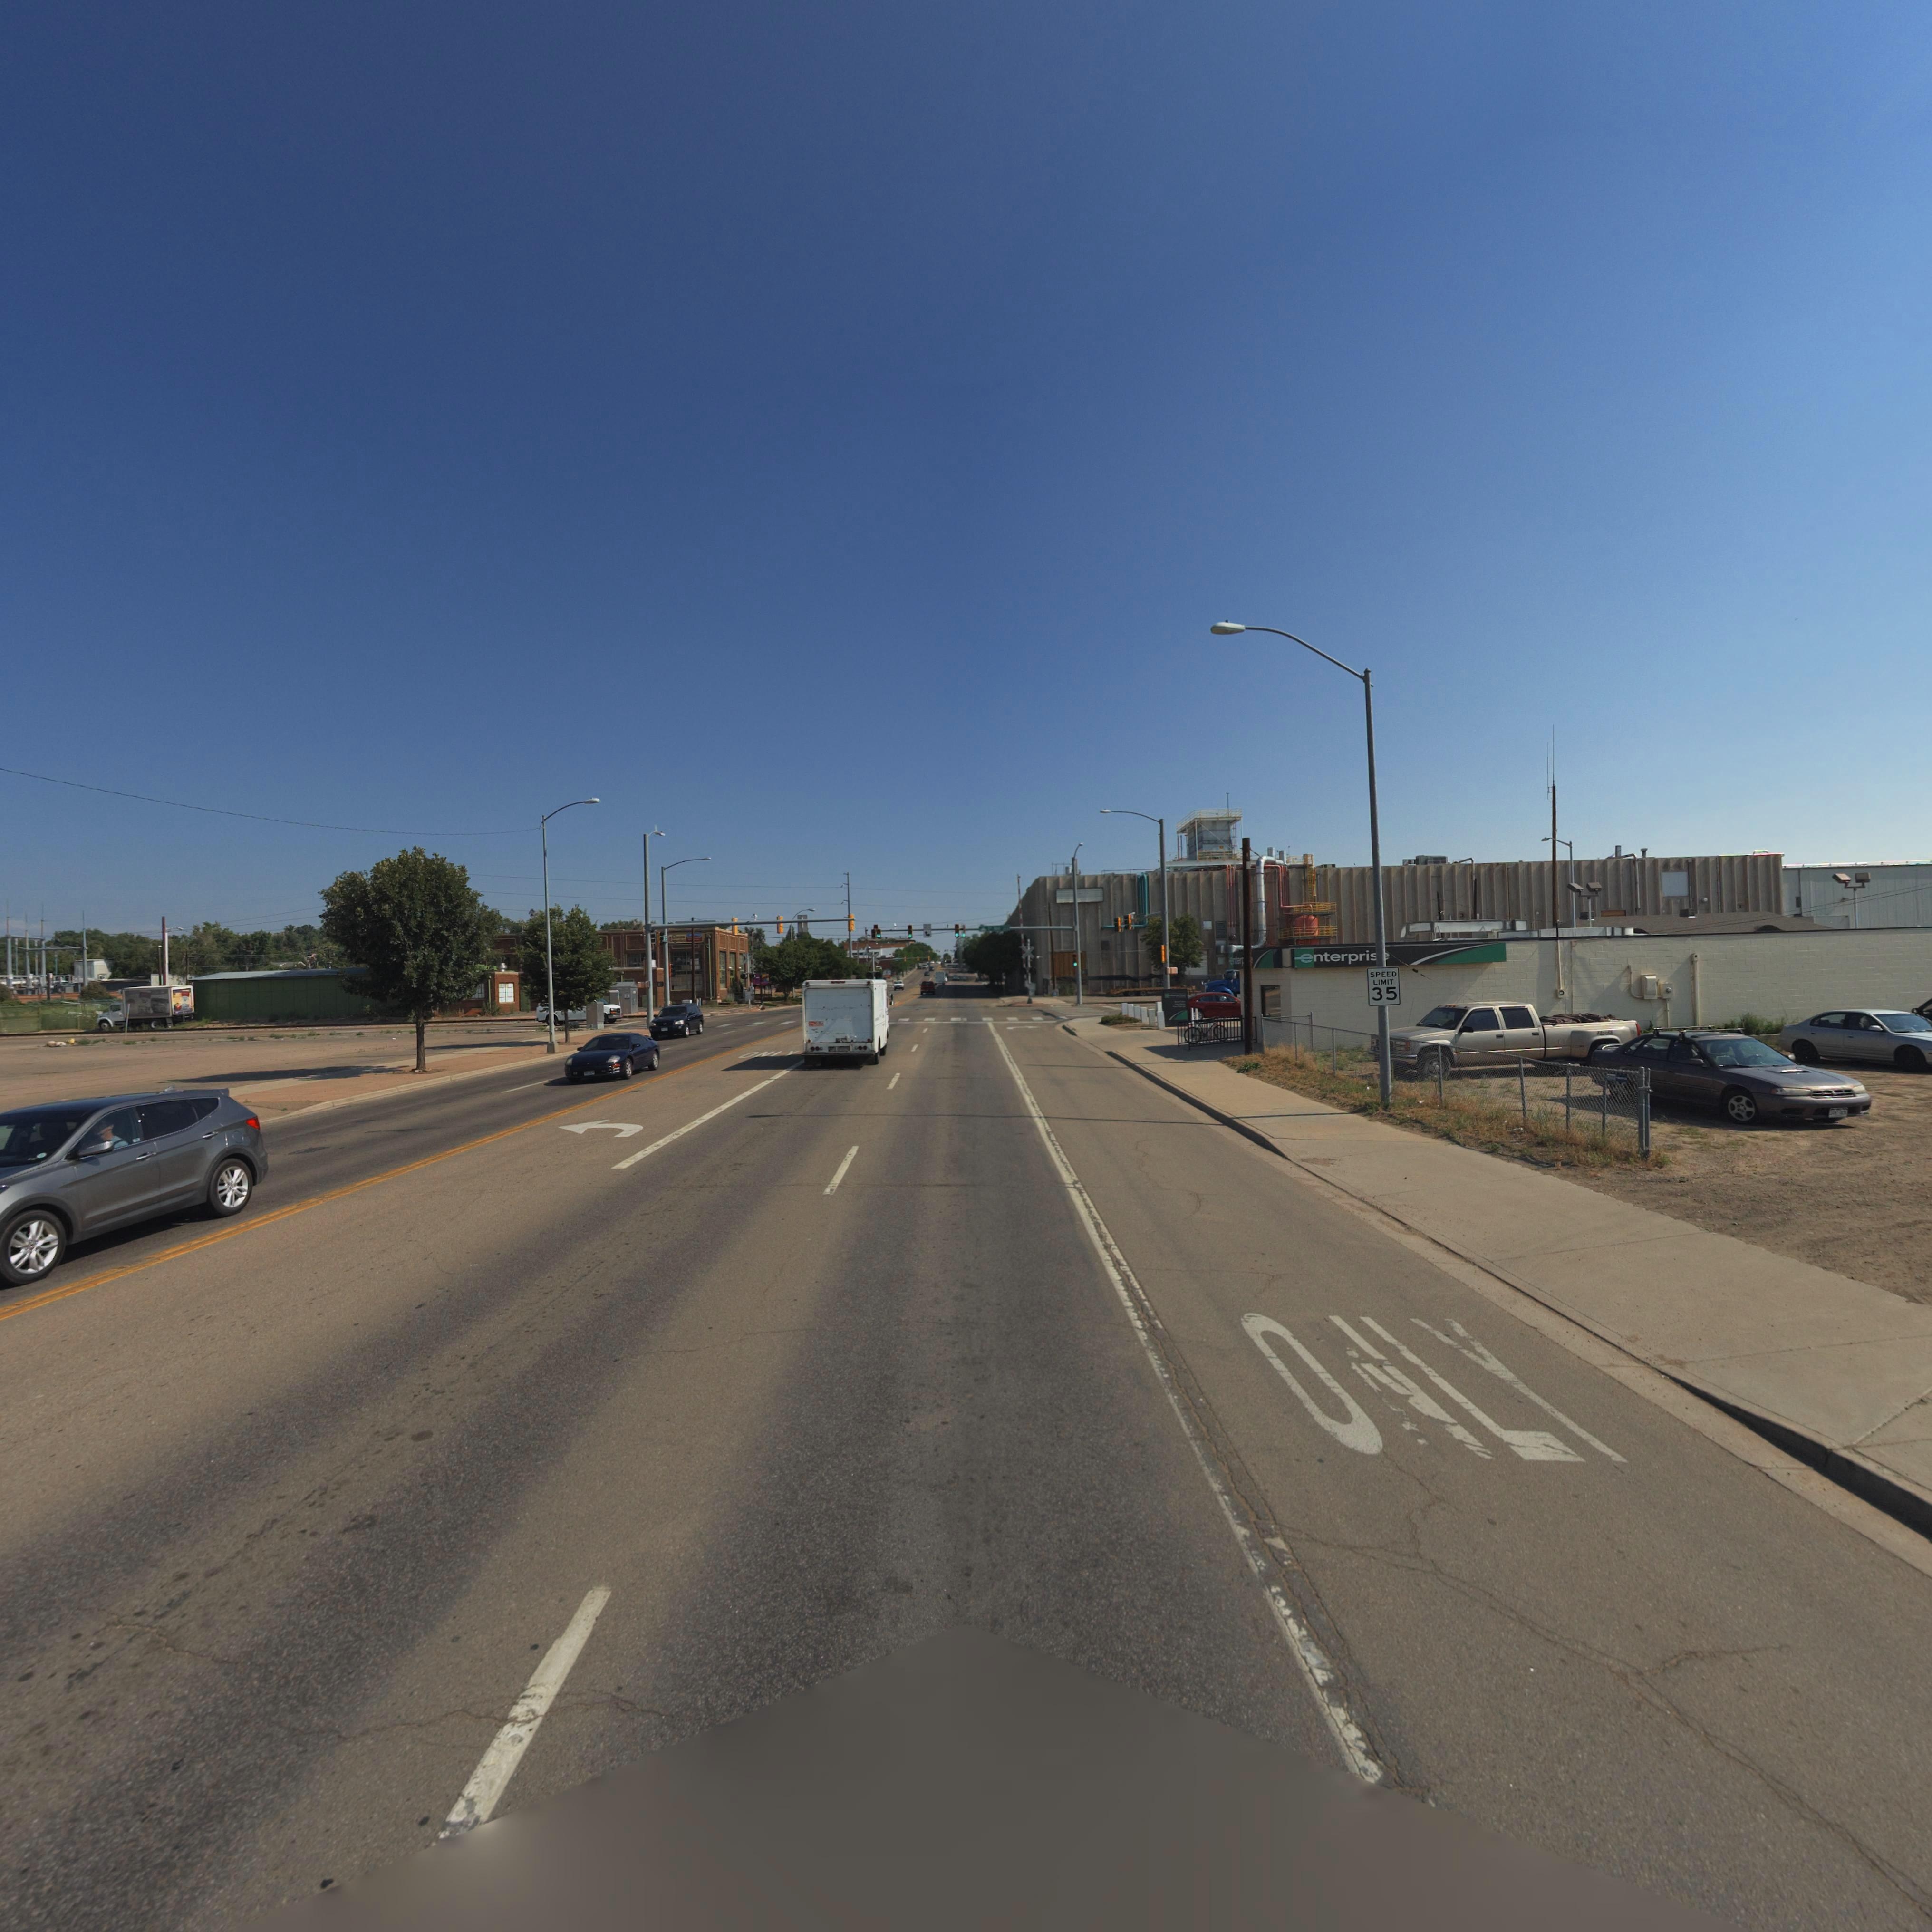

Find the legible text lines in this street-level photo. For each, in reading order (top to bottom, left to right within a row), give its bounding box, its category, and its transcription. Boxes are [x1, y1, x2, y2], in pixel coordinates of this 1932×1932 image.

[671, 934, 685, 939] BusinessName: Ch****
[1228, 956, 1253, 967] BusinessName: enter*****
[1294, 950, 1390, 964] BusinessName: enterpri**